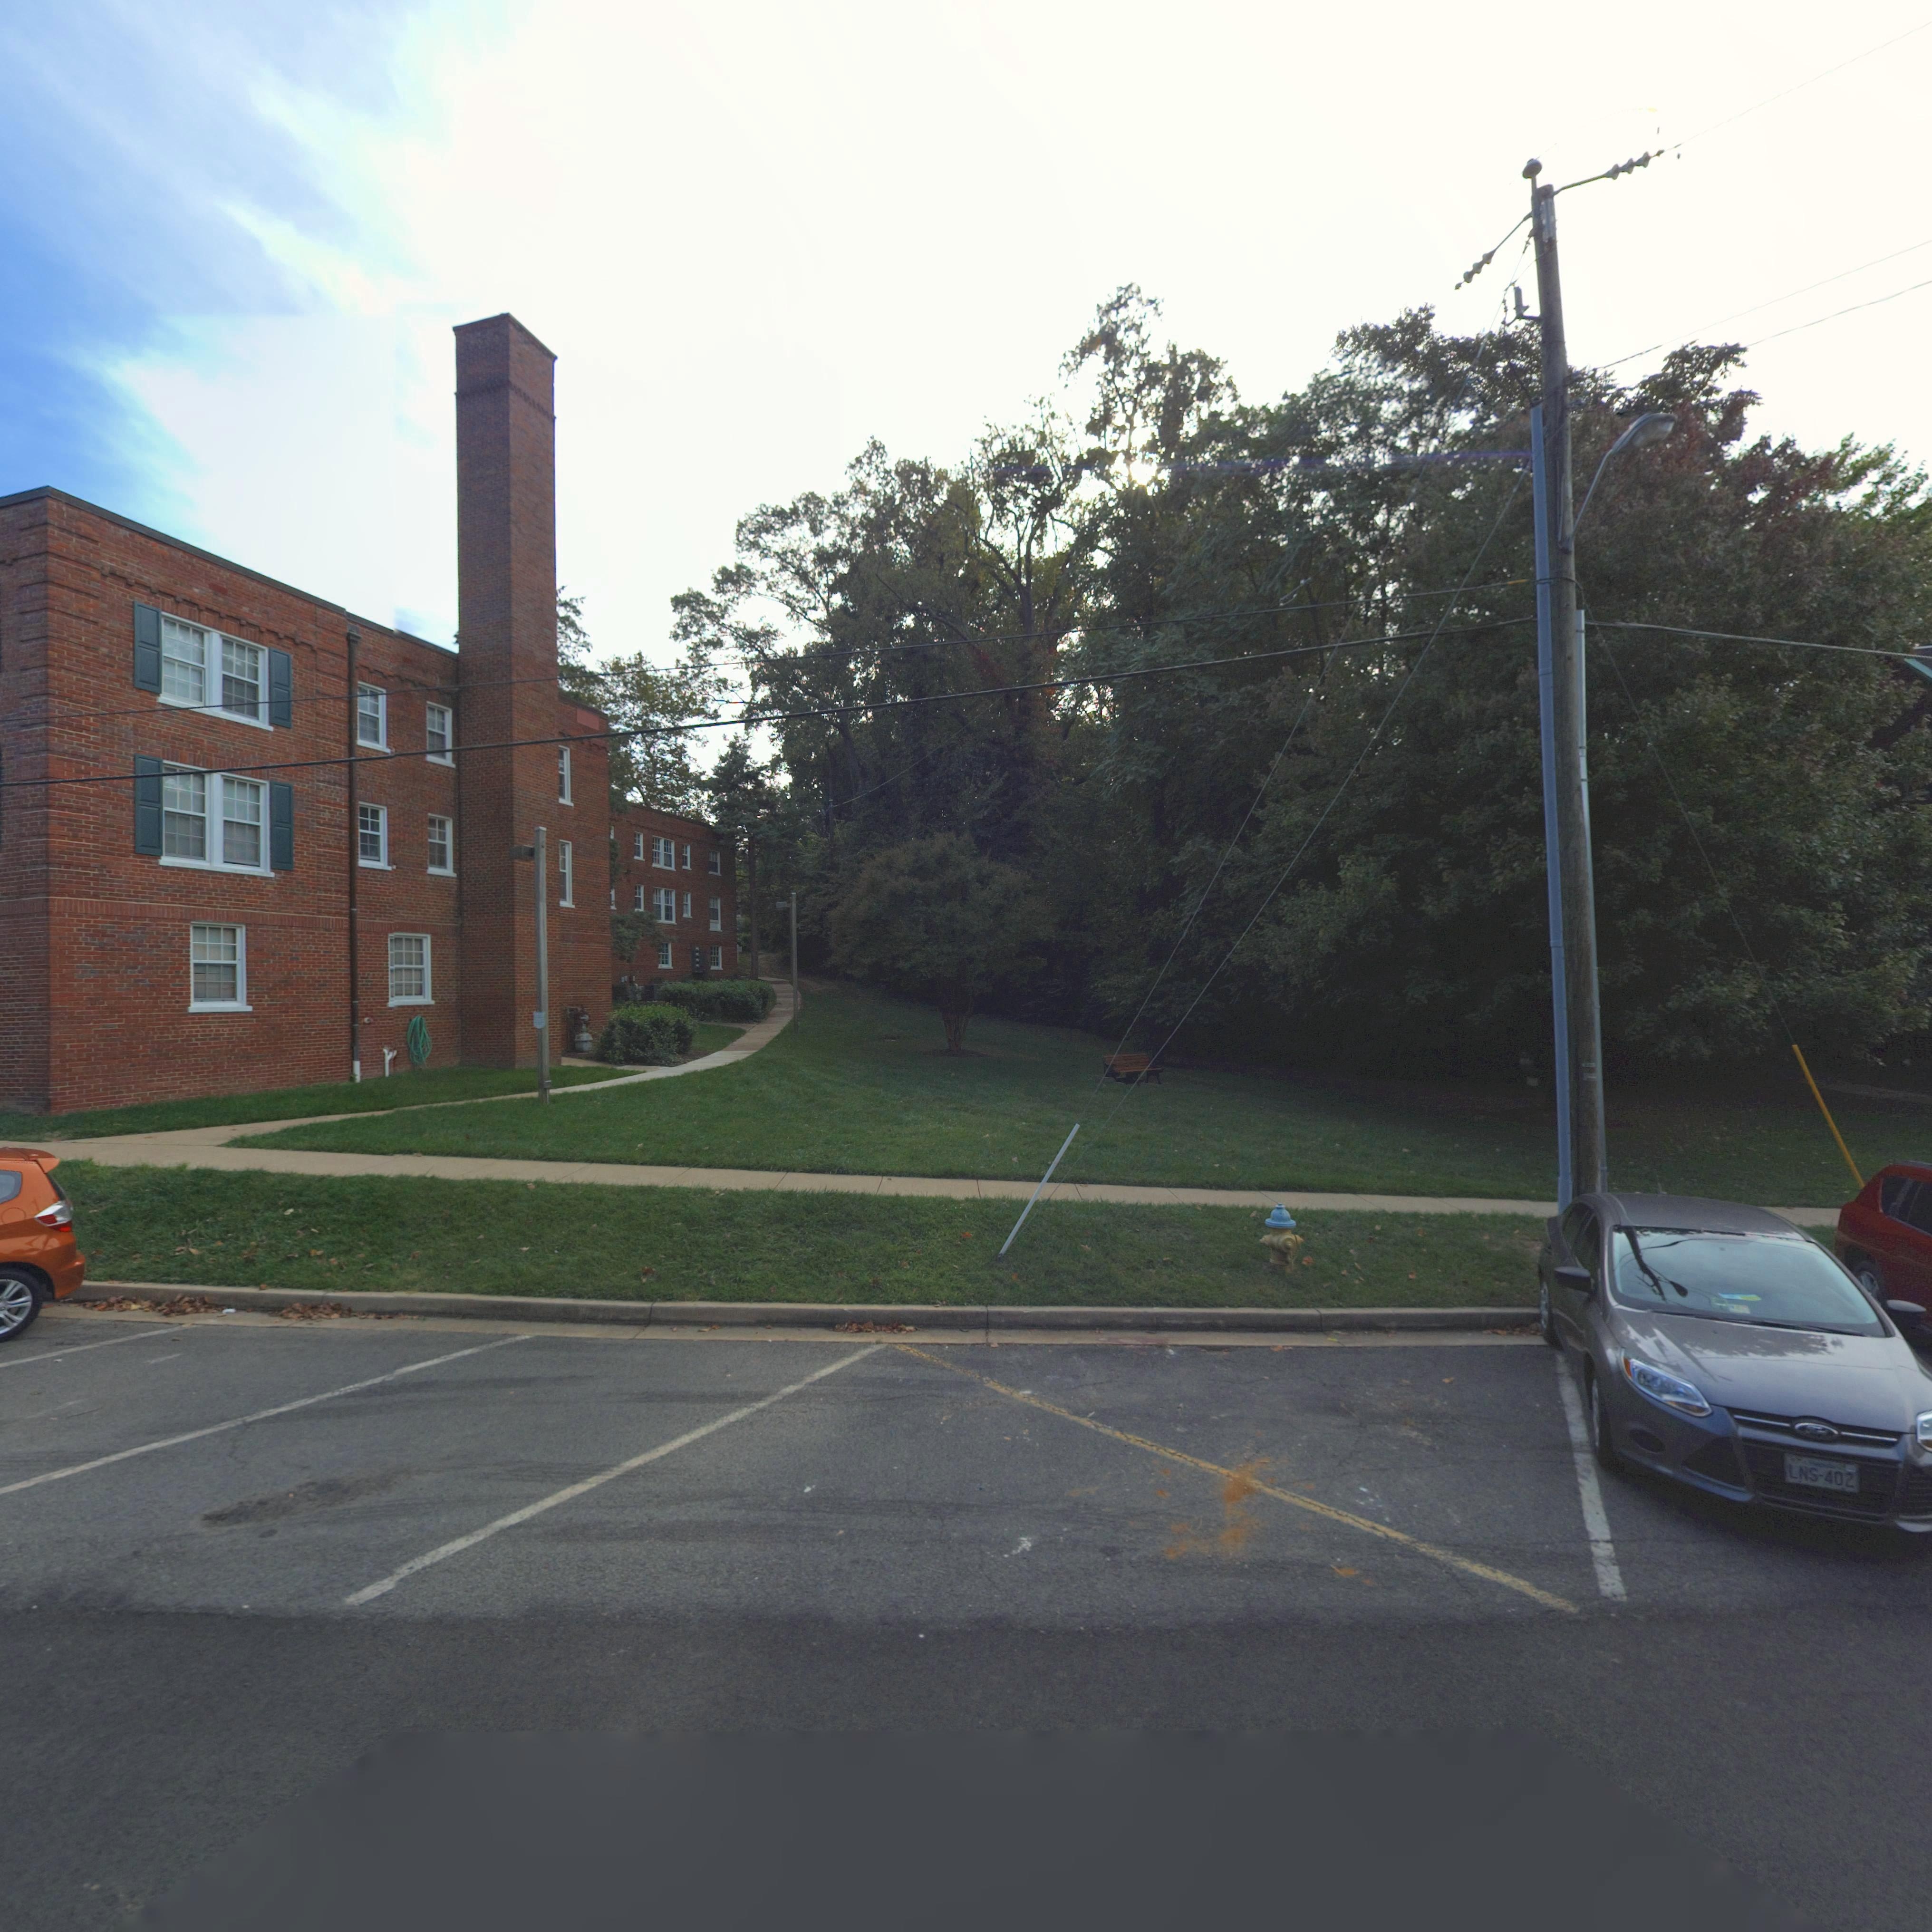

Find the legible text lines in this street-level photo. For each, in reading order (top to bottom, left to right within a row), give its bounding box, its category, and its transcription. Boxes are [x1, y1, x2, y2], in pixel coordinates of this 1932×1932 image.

[1786, 1459, 1858, 1492] None: LNS-402